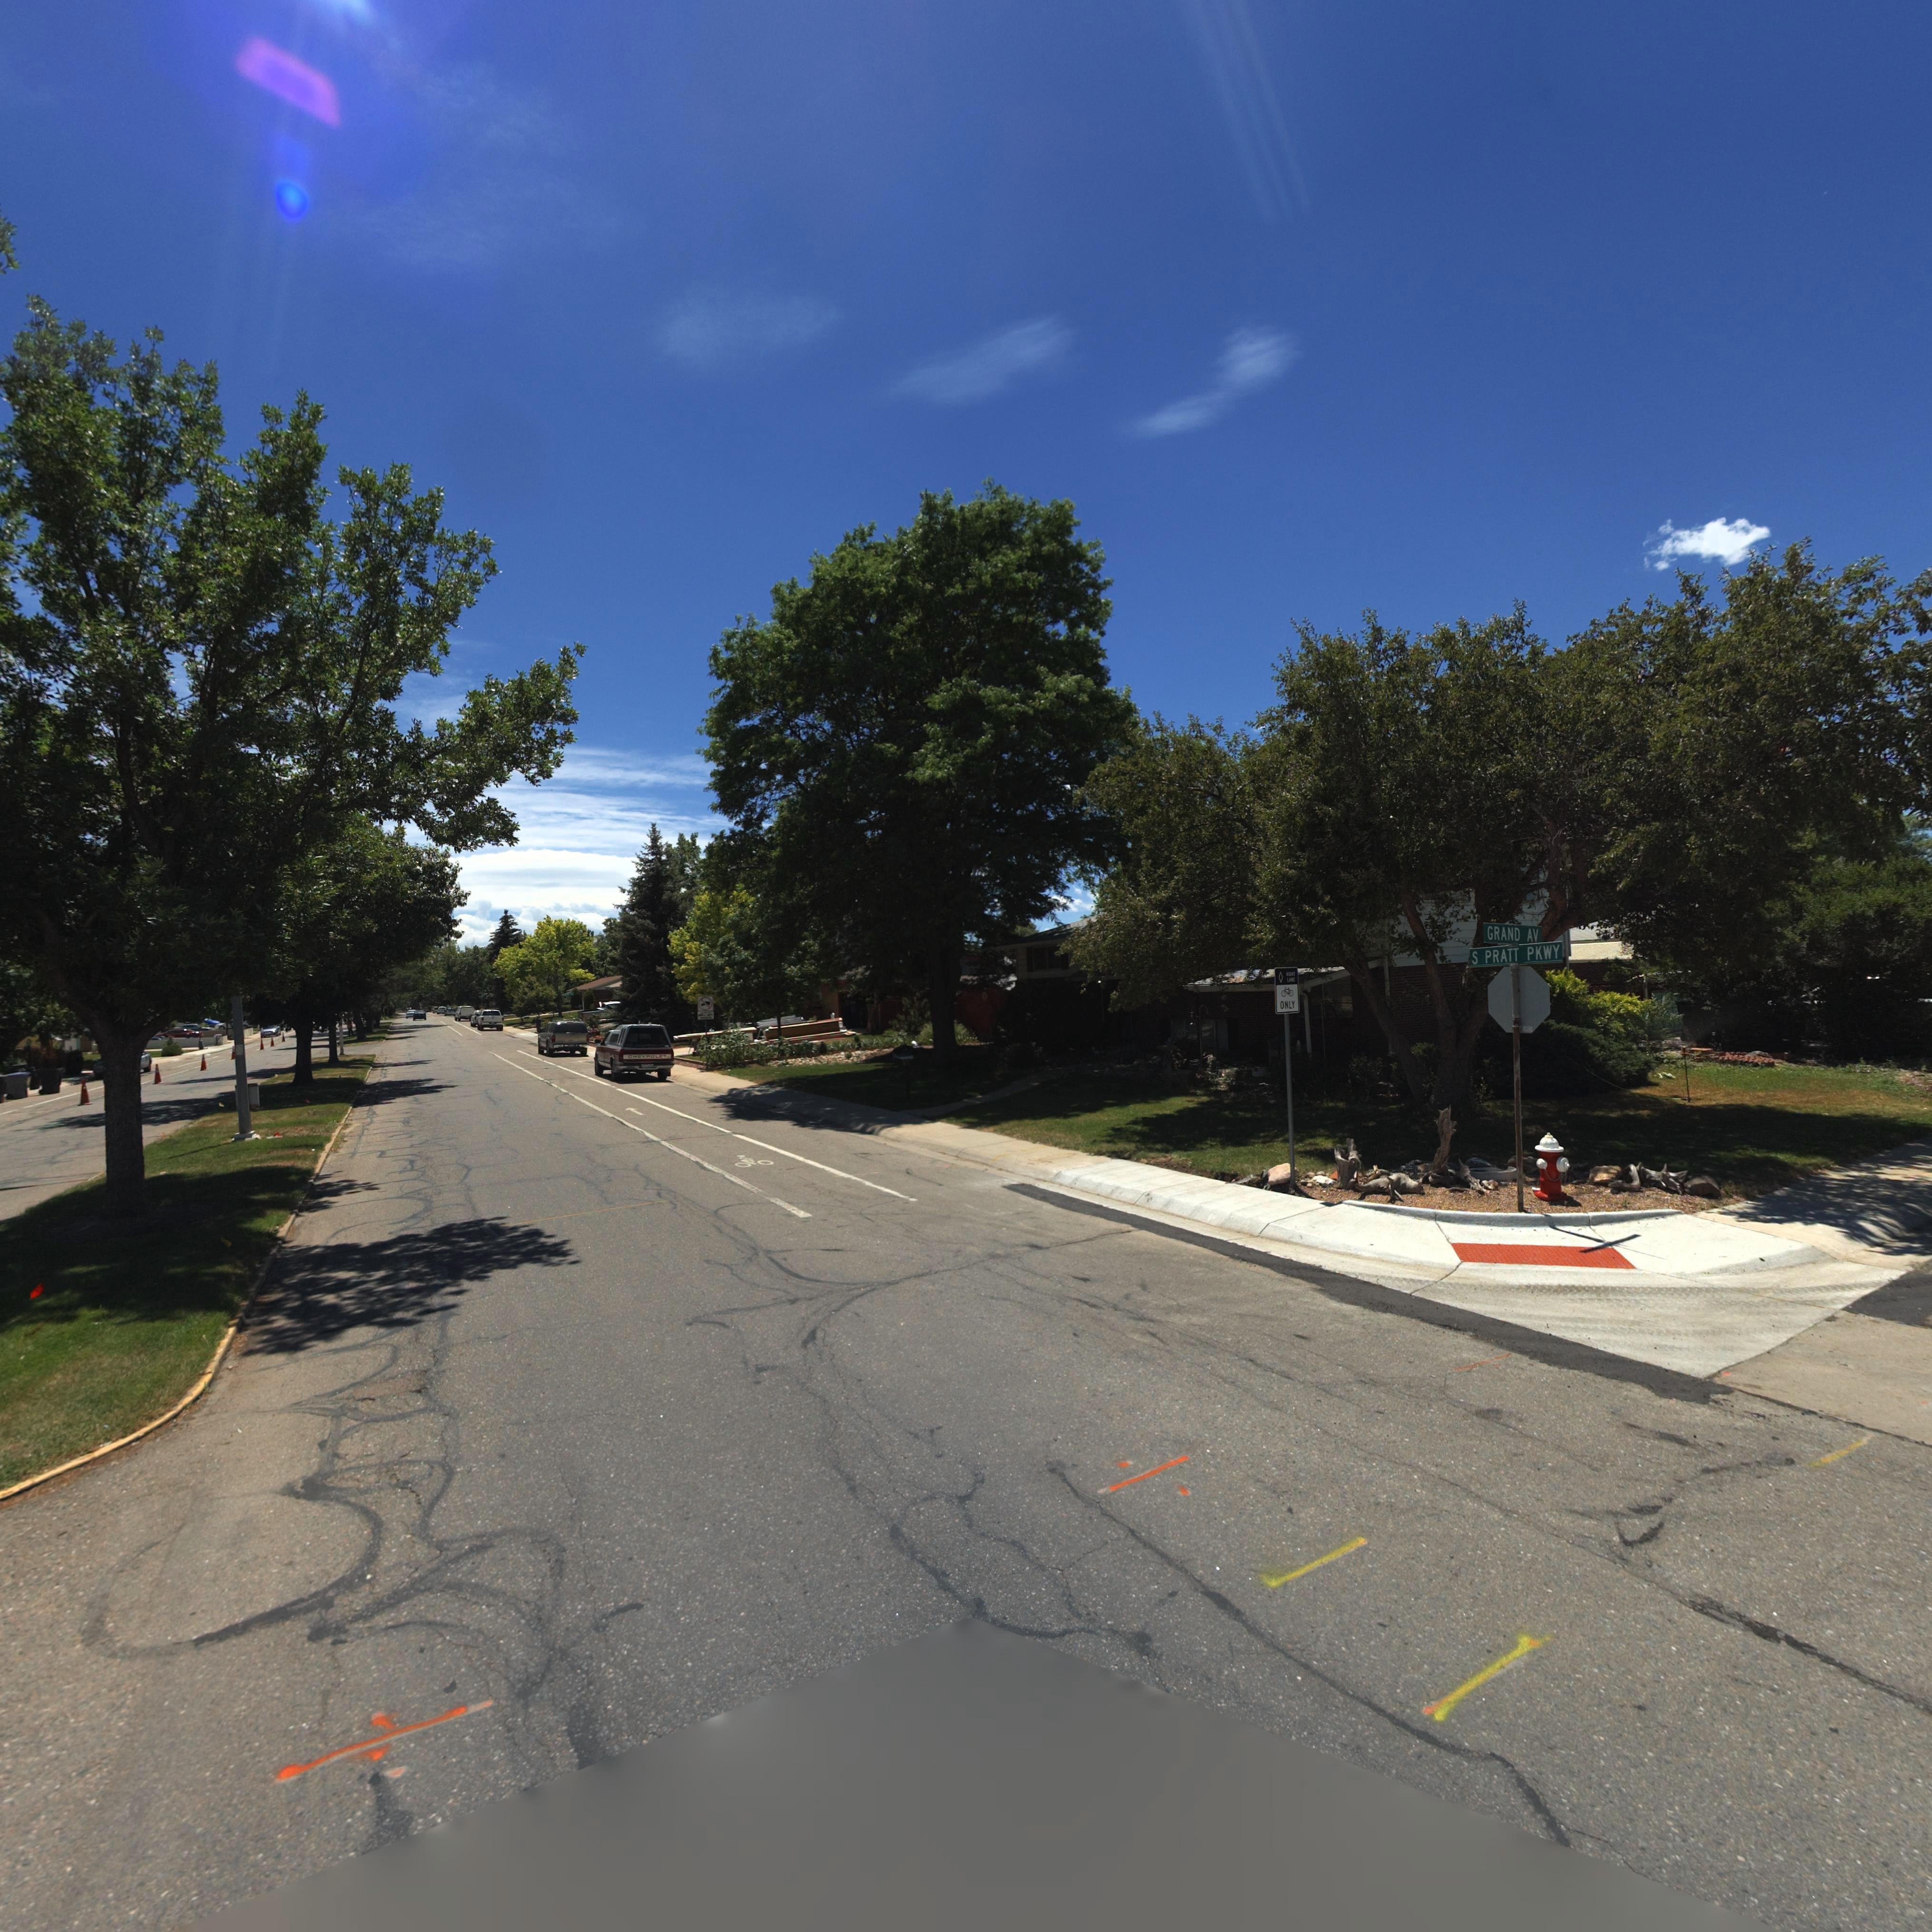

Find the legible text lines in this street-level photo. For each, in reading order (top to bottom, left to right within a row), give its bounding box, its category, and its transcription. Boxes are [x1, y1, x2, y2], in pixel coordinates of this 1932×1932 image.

[1486, 925, 1540, 943] StreetName: GRAND AV
[1470, 943, 1561, 965] StreetName: S PRATT PKWY